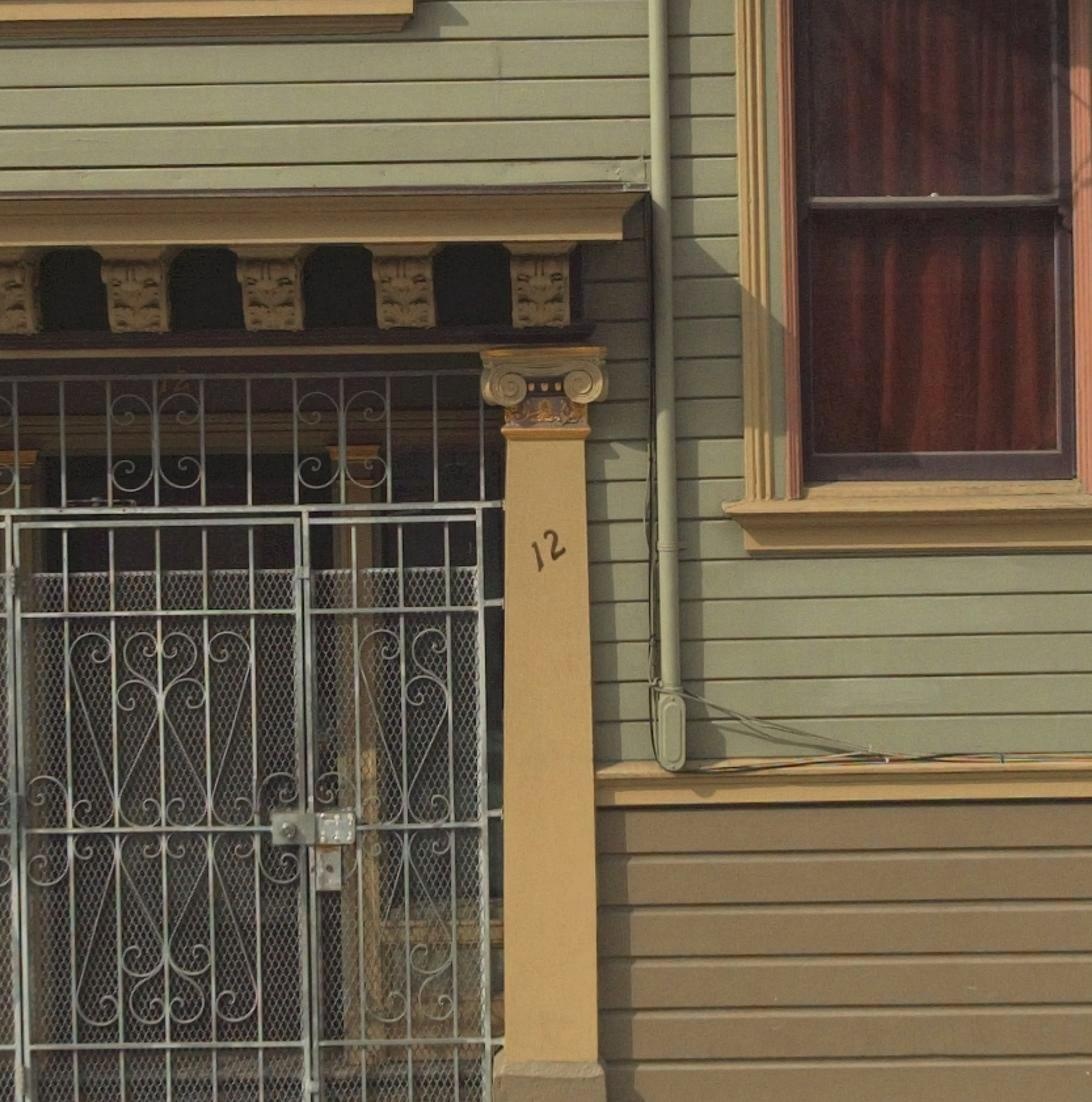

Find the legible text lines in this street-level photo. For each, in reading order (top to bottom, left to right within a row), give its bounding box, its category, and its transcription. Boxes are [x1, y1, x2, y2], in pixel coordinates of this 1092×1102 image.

[528, 524, 569, 578] StreetNumber: 12